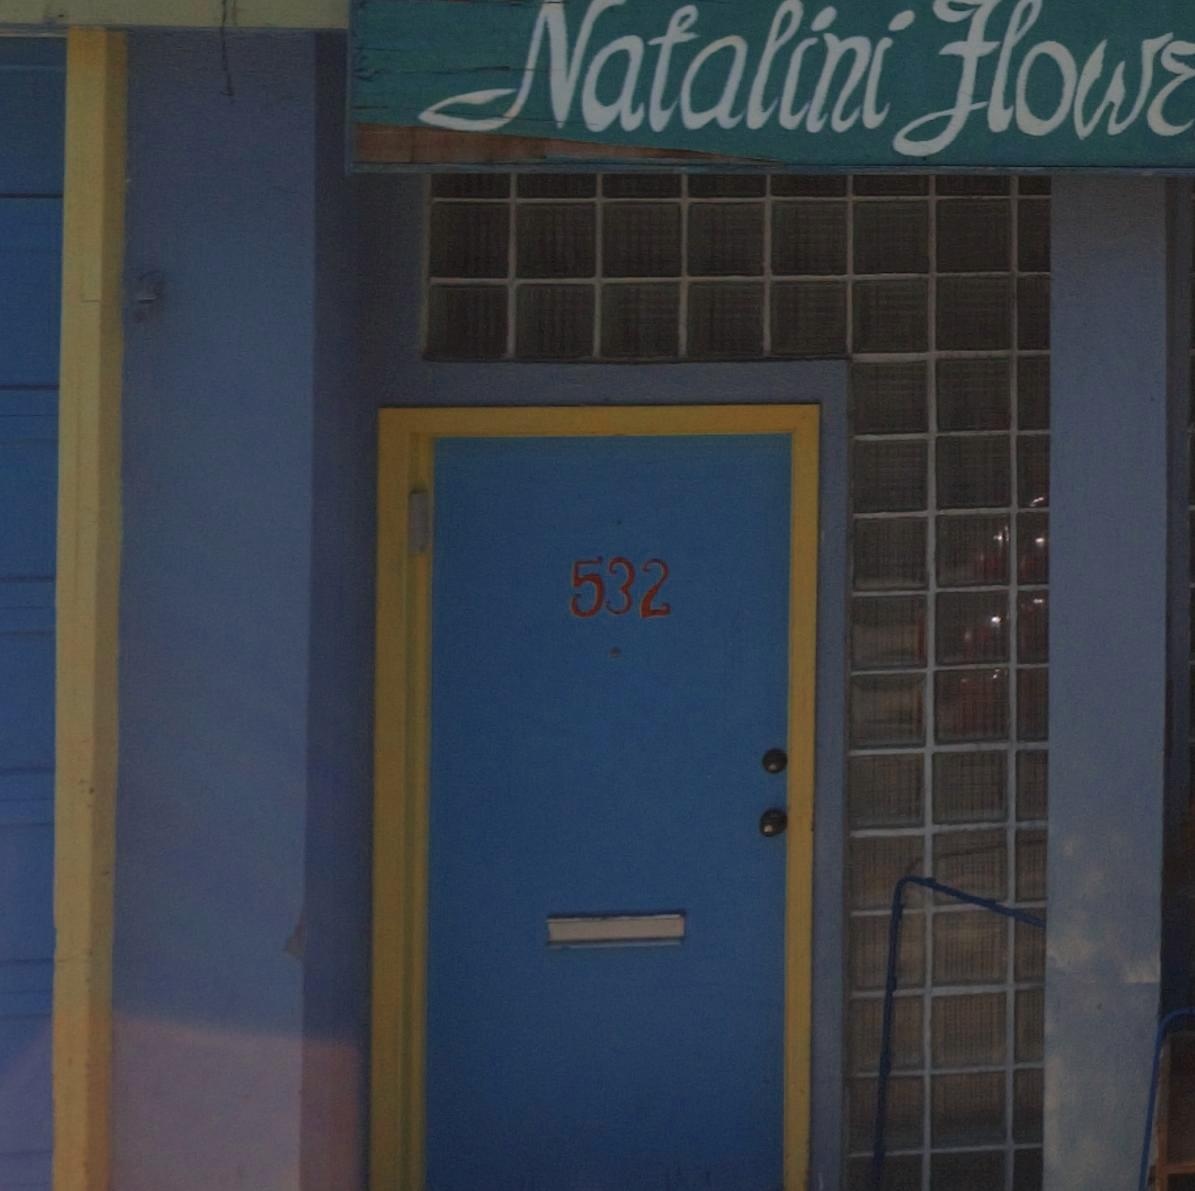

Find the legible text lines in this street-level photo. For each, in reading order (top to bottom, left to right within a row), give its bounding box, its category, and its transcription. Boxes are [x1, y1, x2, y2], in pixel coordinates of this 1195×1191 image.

[576, 1, 920, 134] BusinessName: atalini
[1009, 29, 1178, 143] BusinessName: ow
[568, 553, 673, 620] StreetNumber: 532